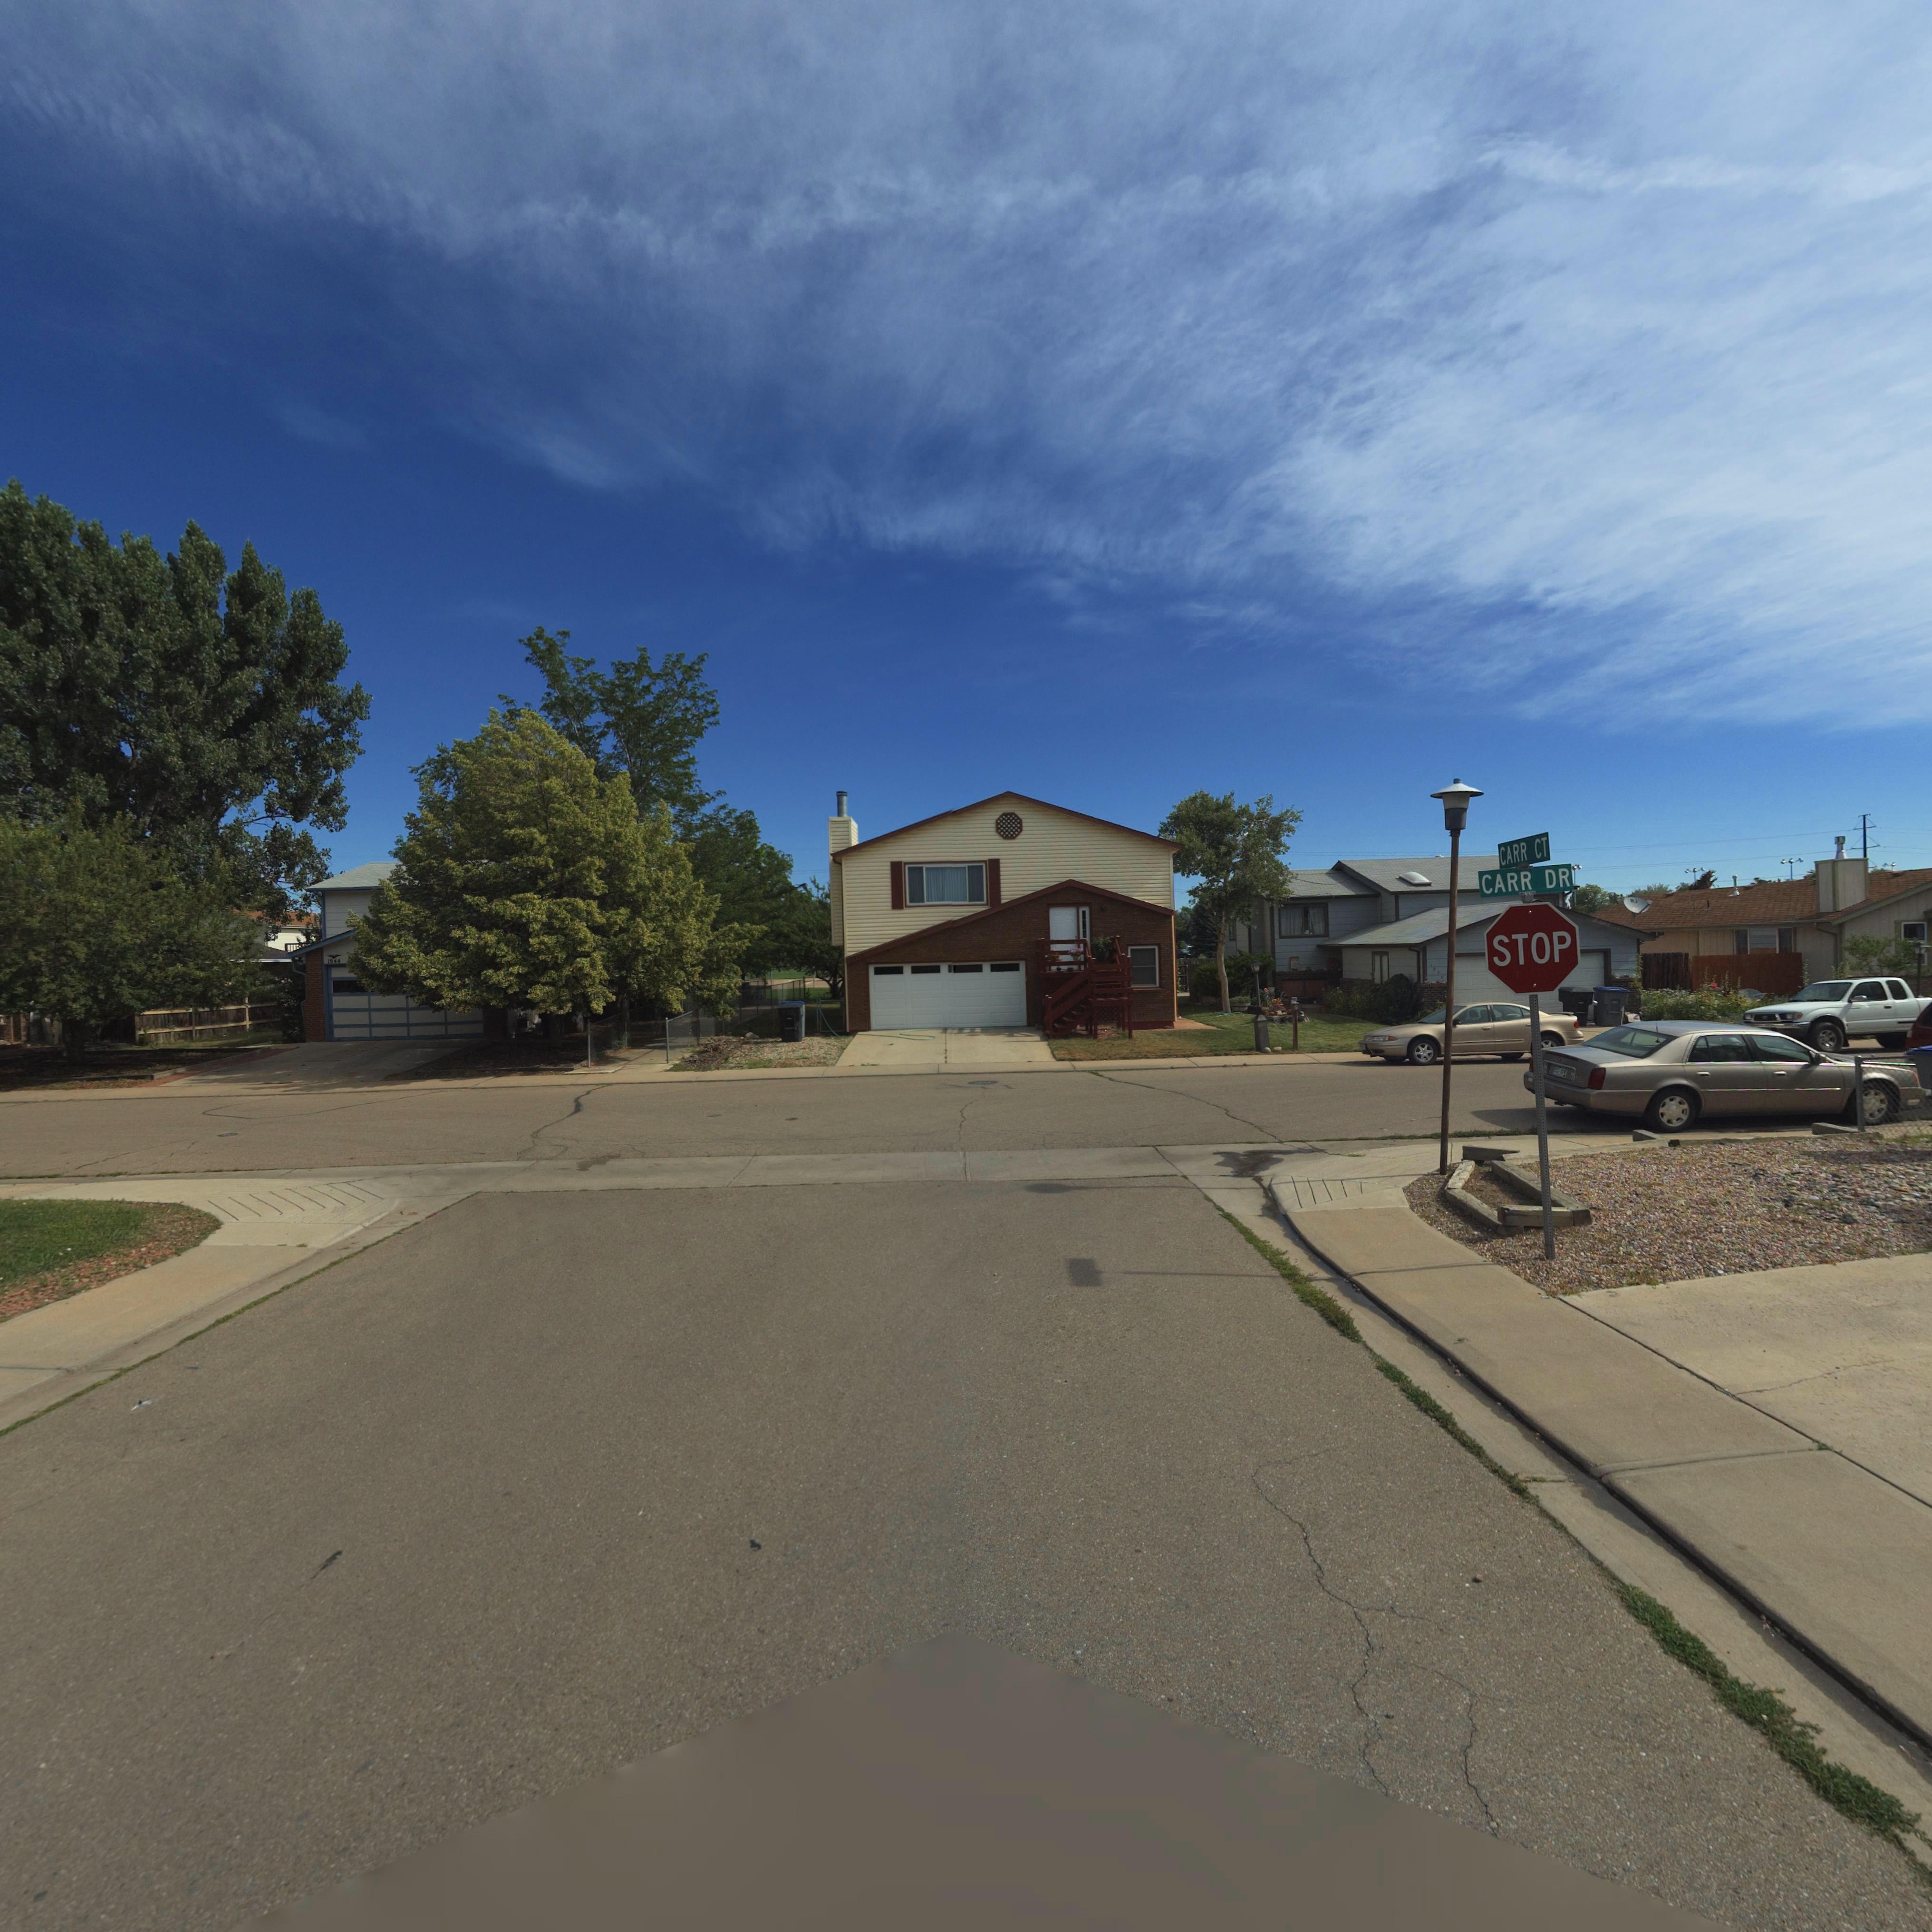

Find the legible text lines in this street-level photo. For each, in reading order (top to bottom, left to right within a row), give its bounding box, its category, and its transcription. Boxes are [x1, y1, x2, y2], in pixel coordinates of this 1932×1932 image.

[1498, 836, 1547, 866] StreetName: CARR CT
[1480, 867, 1571, 894] StreetName: CARR DR
[326, 958, 341, 964] StreetNumber: 1944